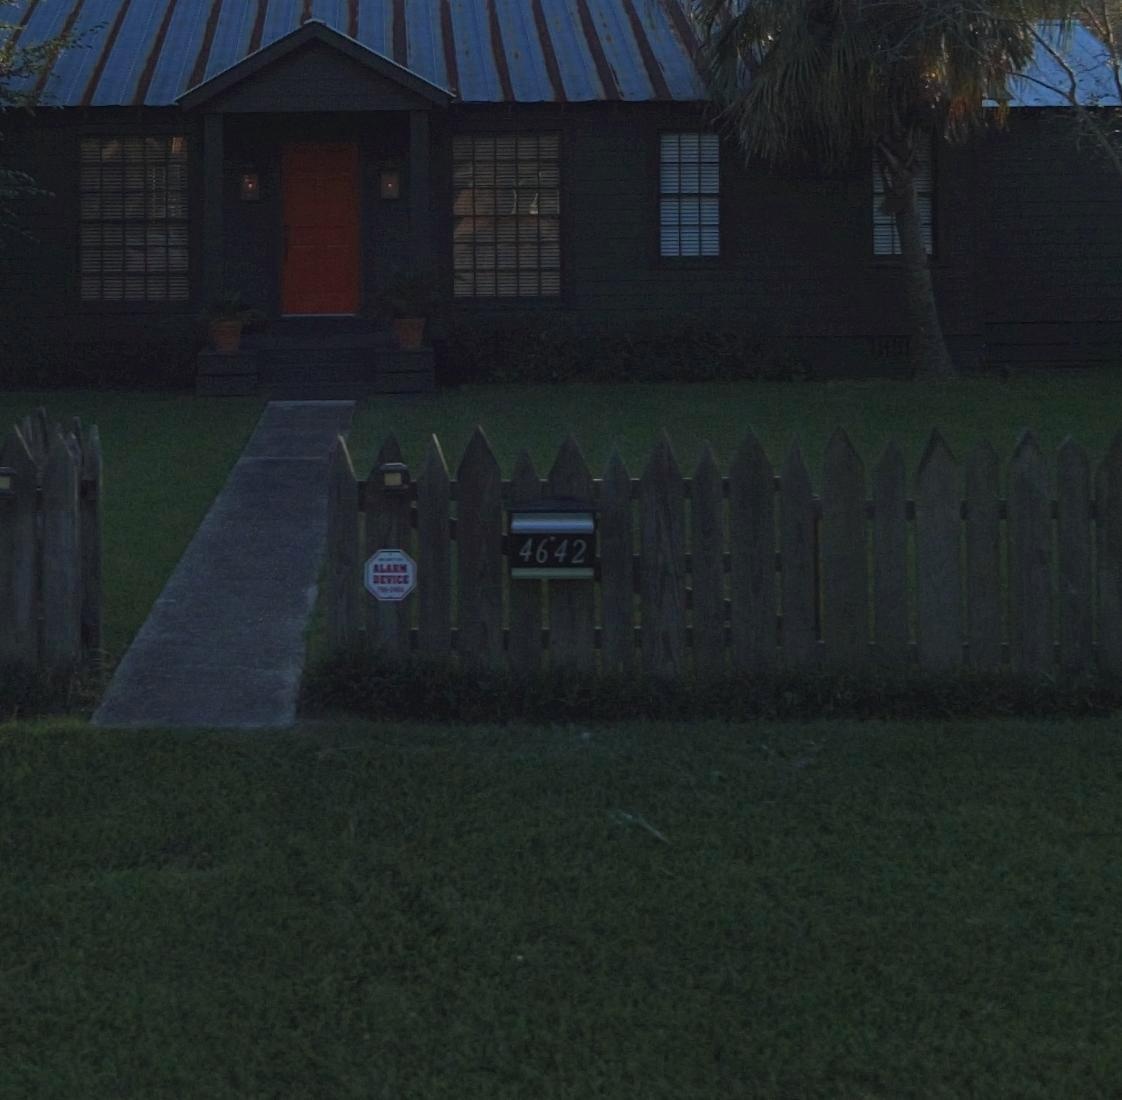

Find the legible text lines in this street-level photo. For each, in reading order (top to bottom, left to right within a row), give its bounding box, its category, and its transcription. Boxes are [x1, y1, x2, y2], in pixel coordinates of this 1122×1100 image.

[517, 536, 589, 566] StreetNumber: 4642
[371, 562, 409, 574] None: ALARM
[371, 574, 411, 585] None: SERVICE